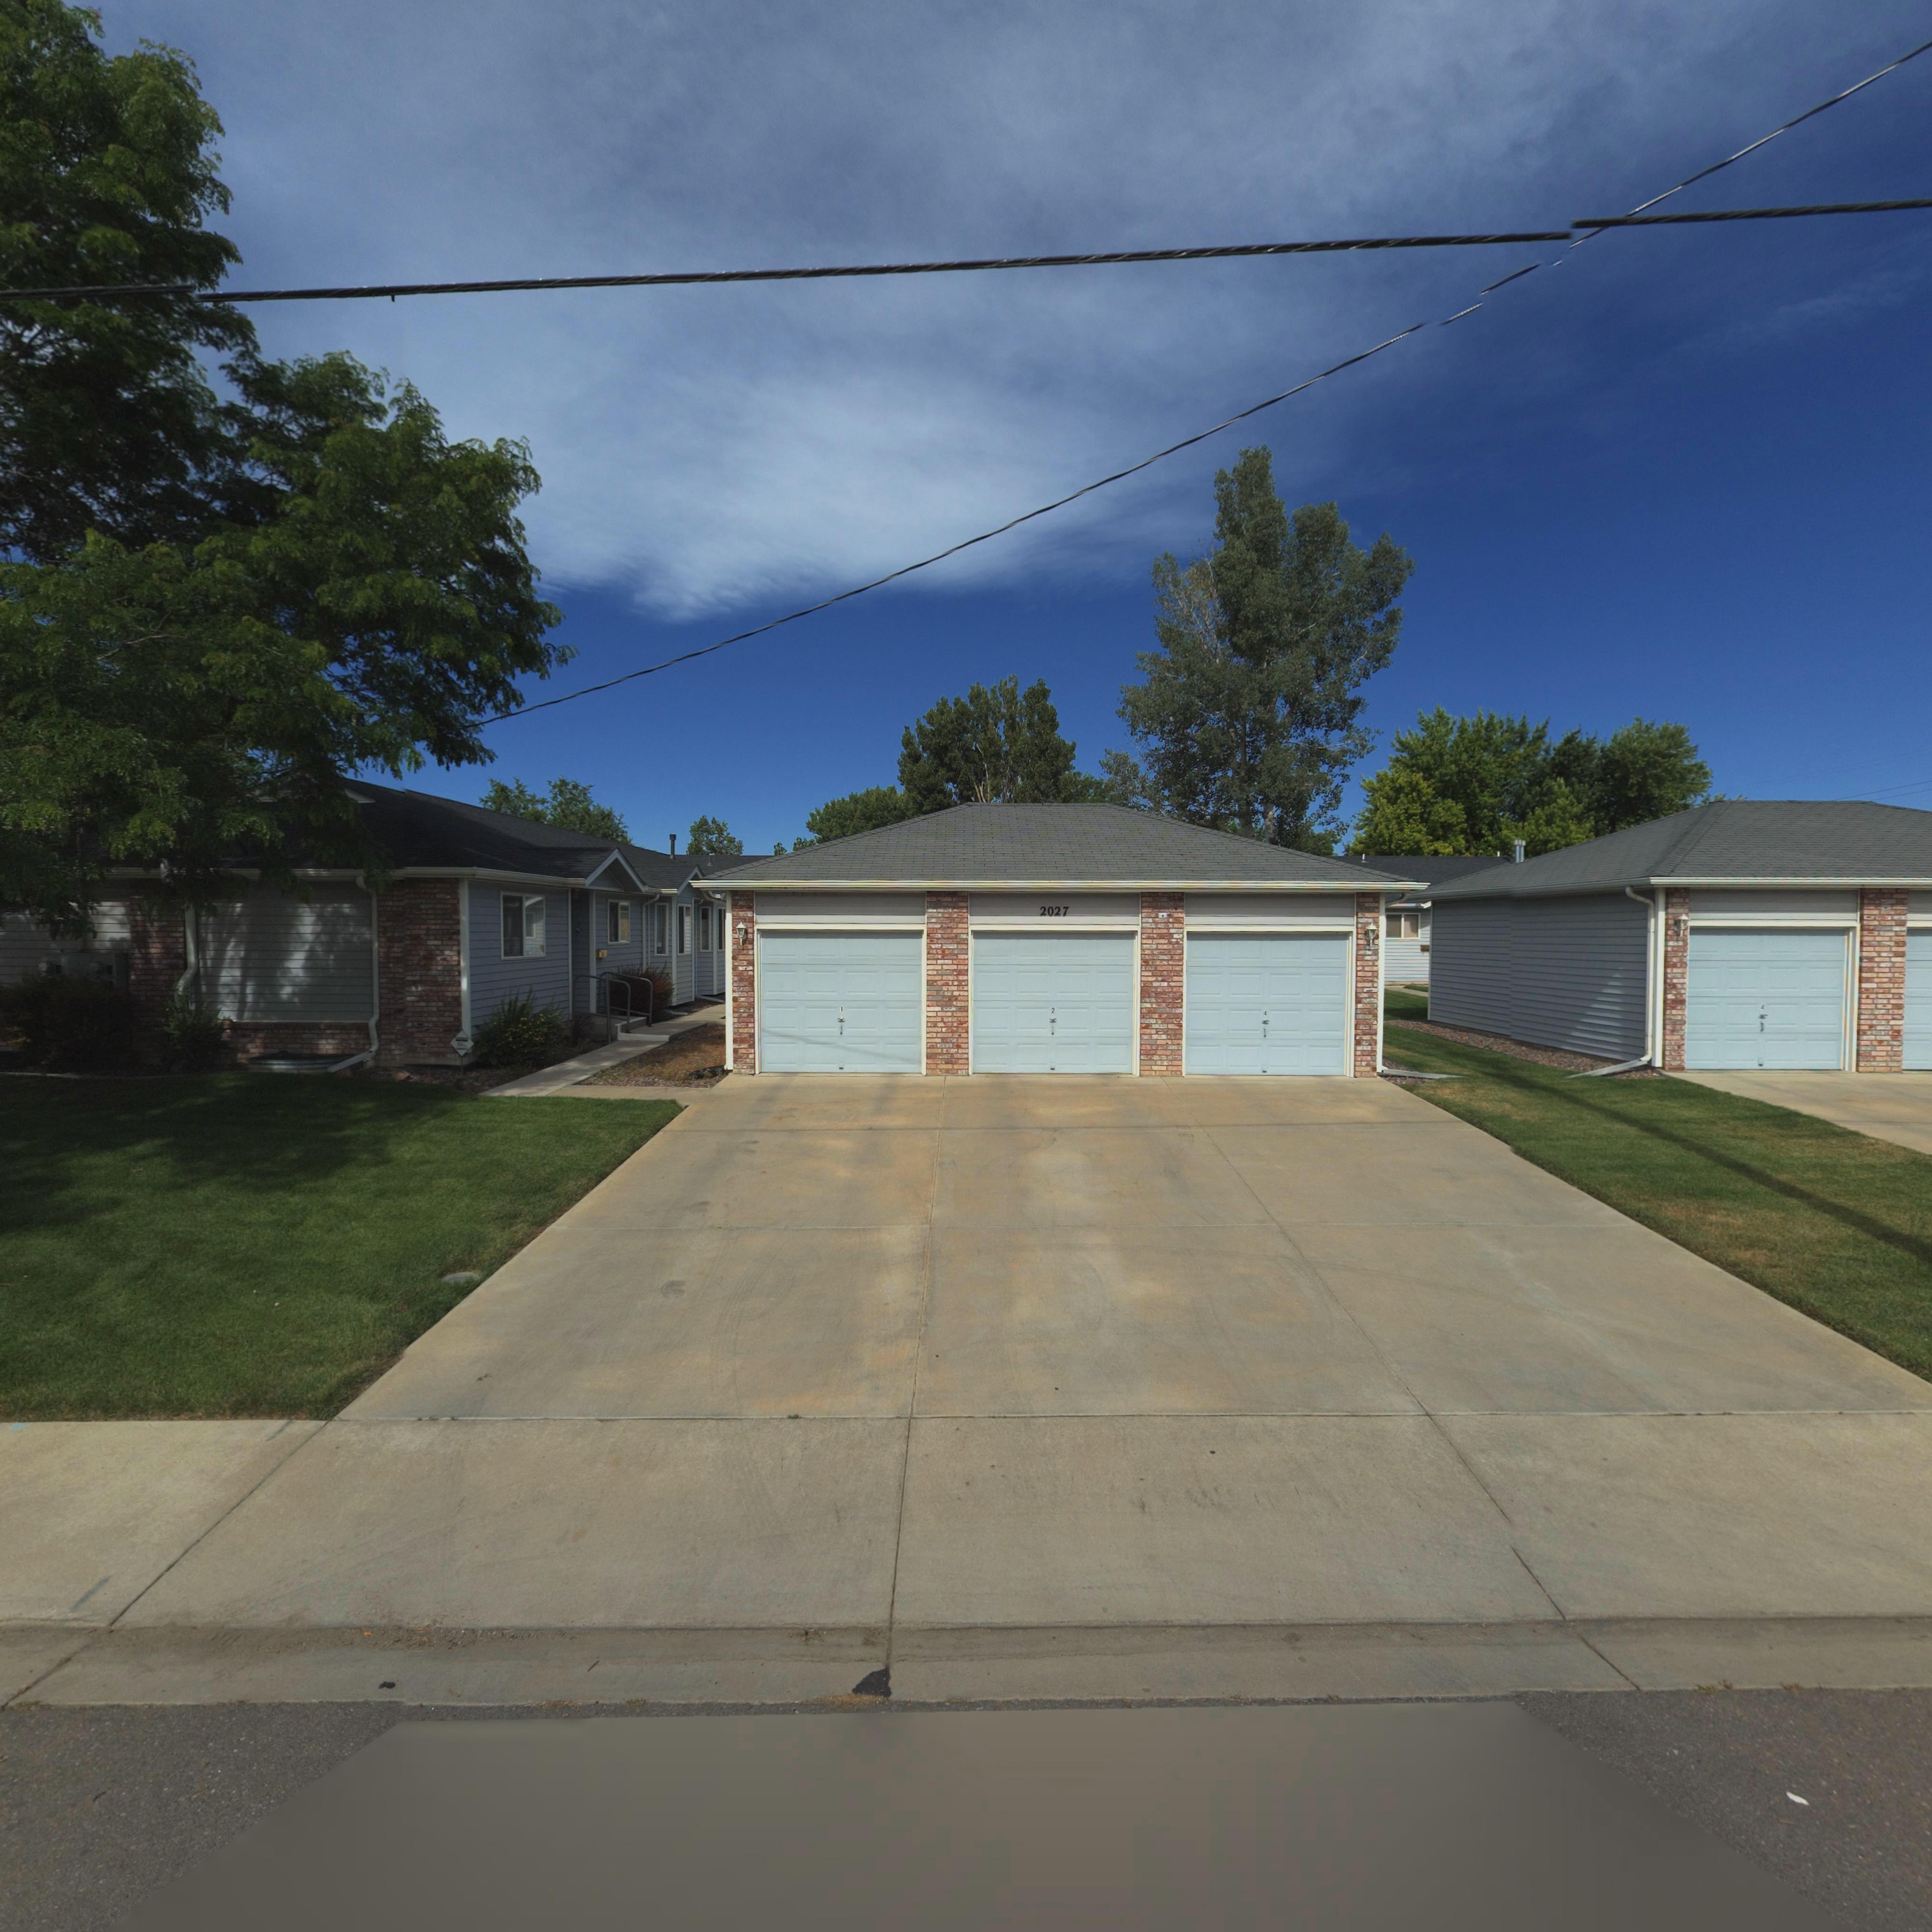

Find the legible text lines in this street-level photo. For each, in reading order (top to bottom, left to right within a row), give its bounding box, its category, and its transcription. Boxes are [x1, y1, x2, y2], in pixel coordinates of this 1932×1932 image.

[1039, 906, 1070, 917] StreetNumber: 2027